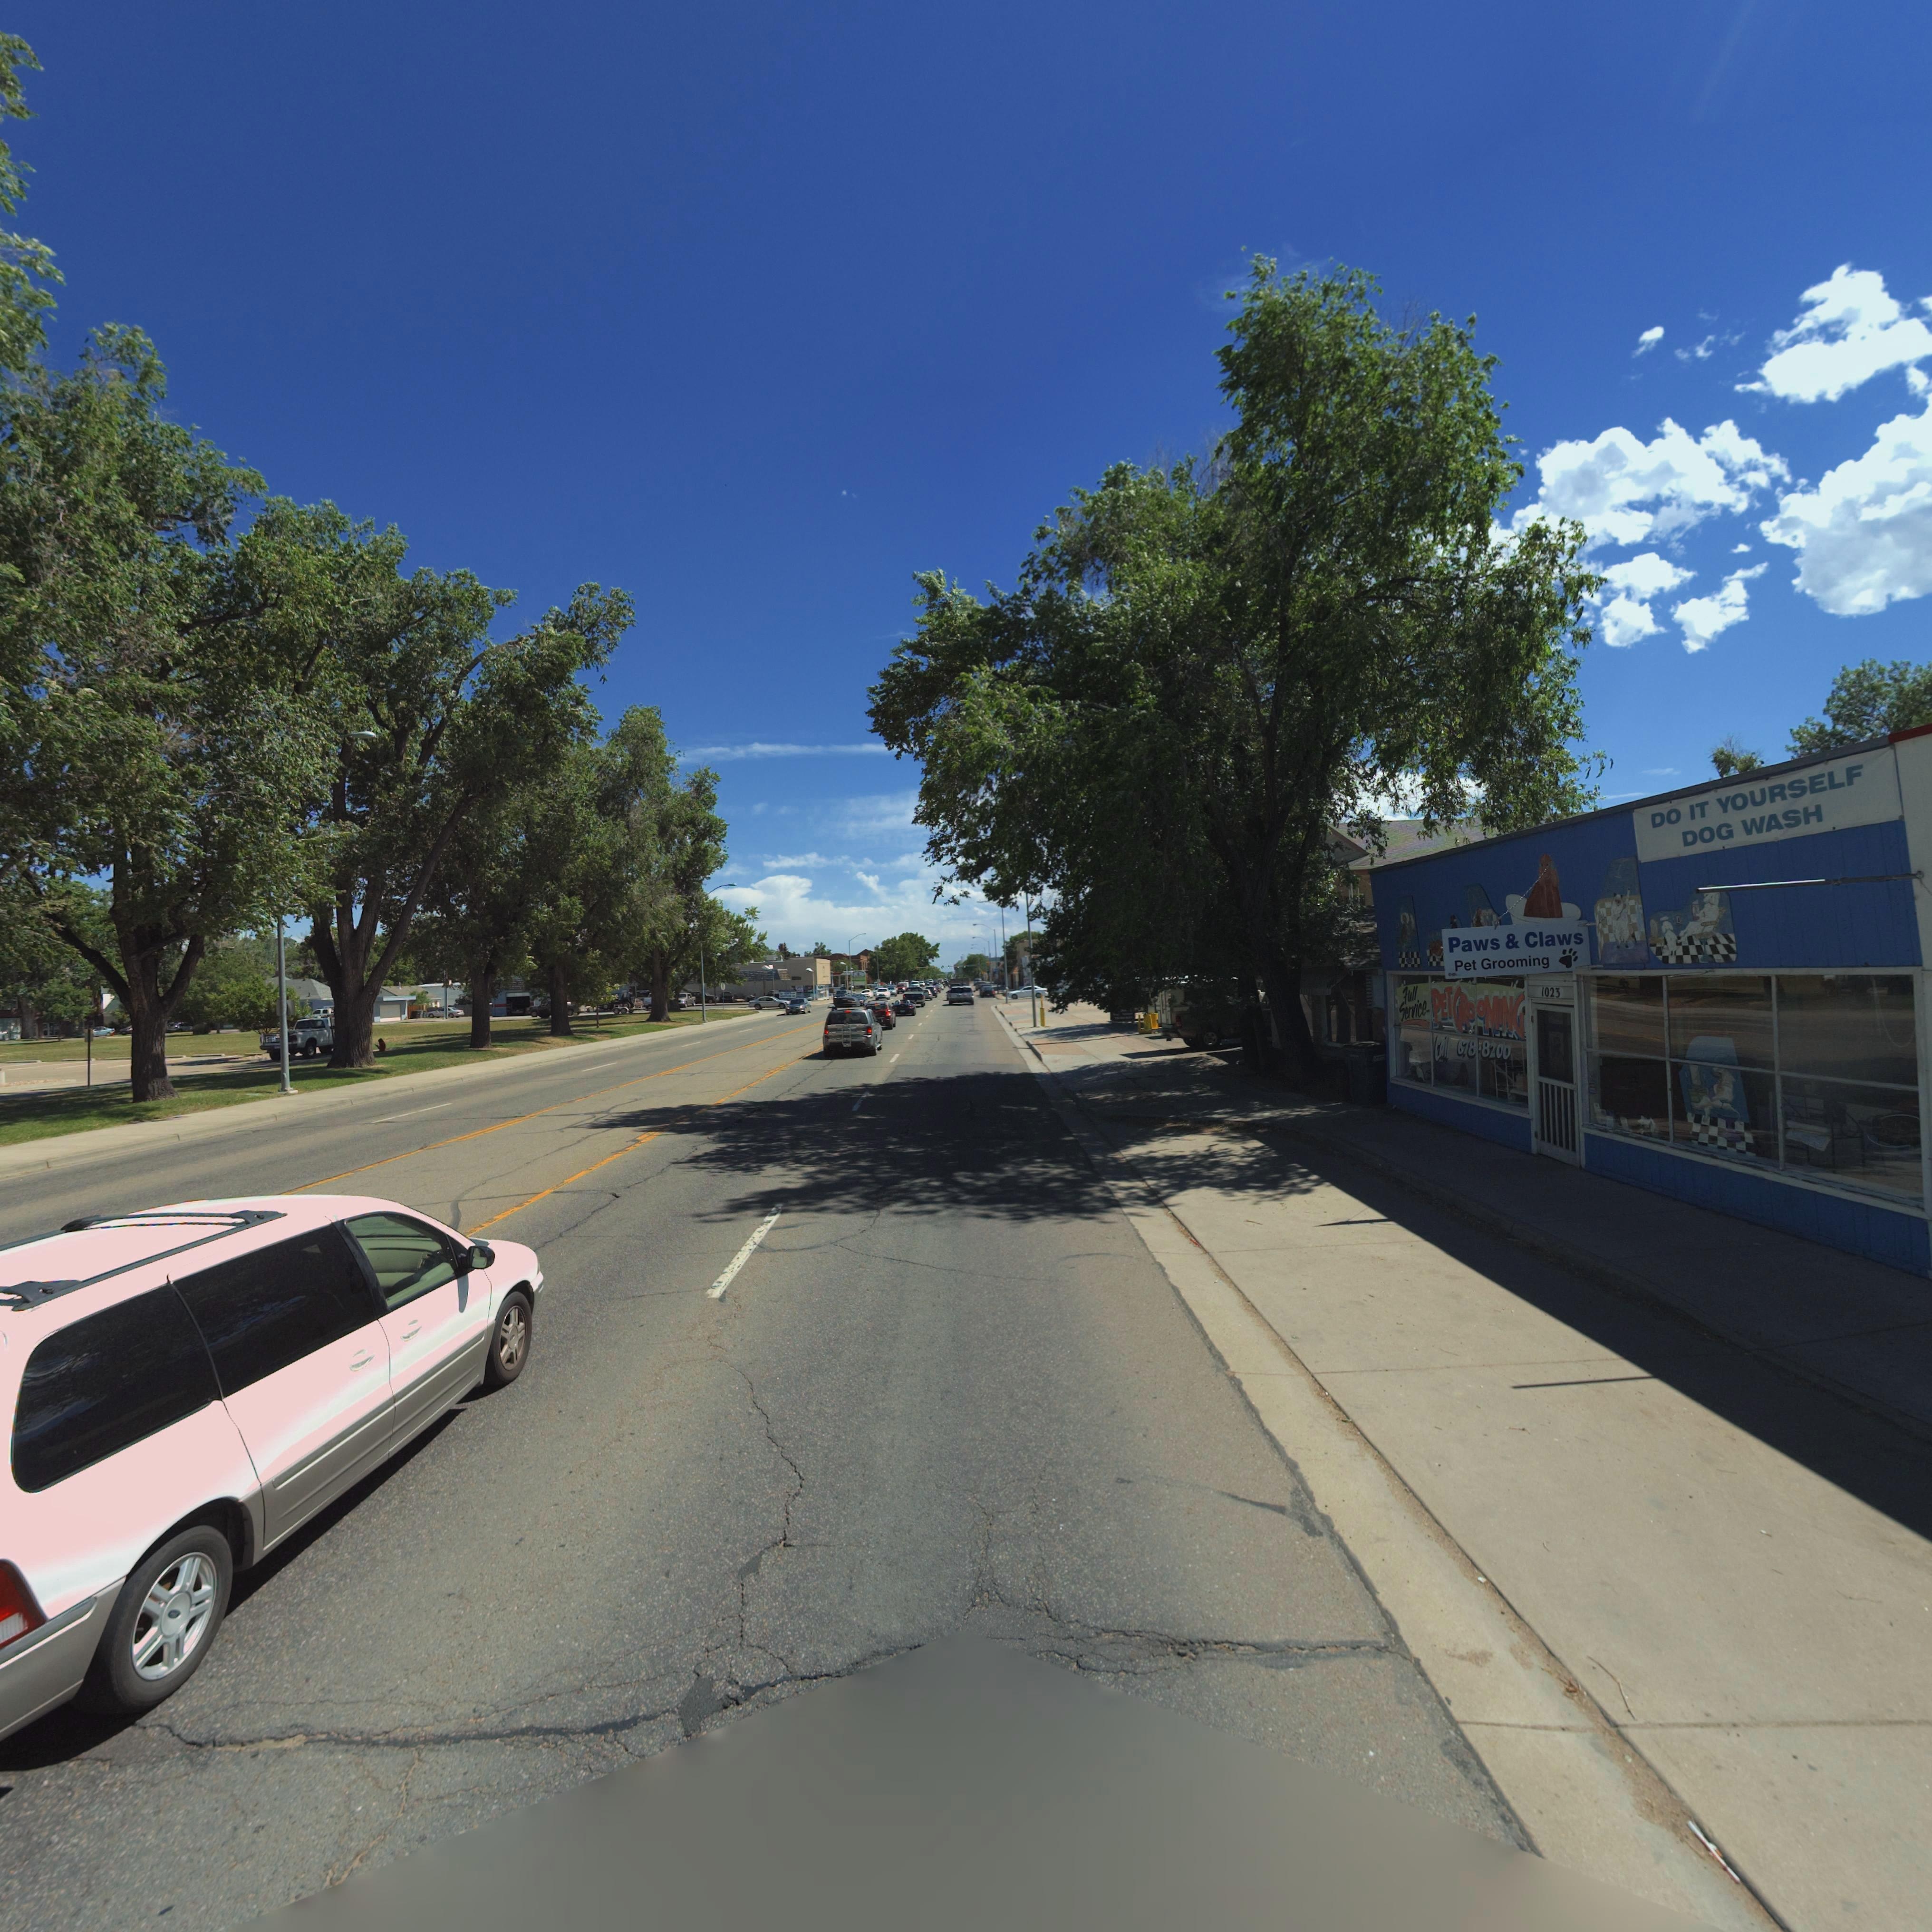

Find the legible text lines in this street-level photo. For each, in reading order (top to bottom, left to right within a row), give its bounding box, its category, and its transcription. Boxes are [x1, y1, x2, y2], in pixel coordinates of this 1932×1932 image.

[1448, 930, 1584, 953] BusinessName: Paws & Claws
[1541, 986, 1560, 998] StreetNumber: 1023